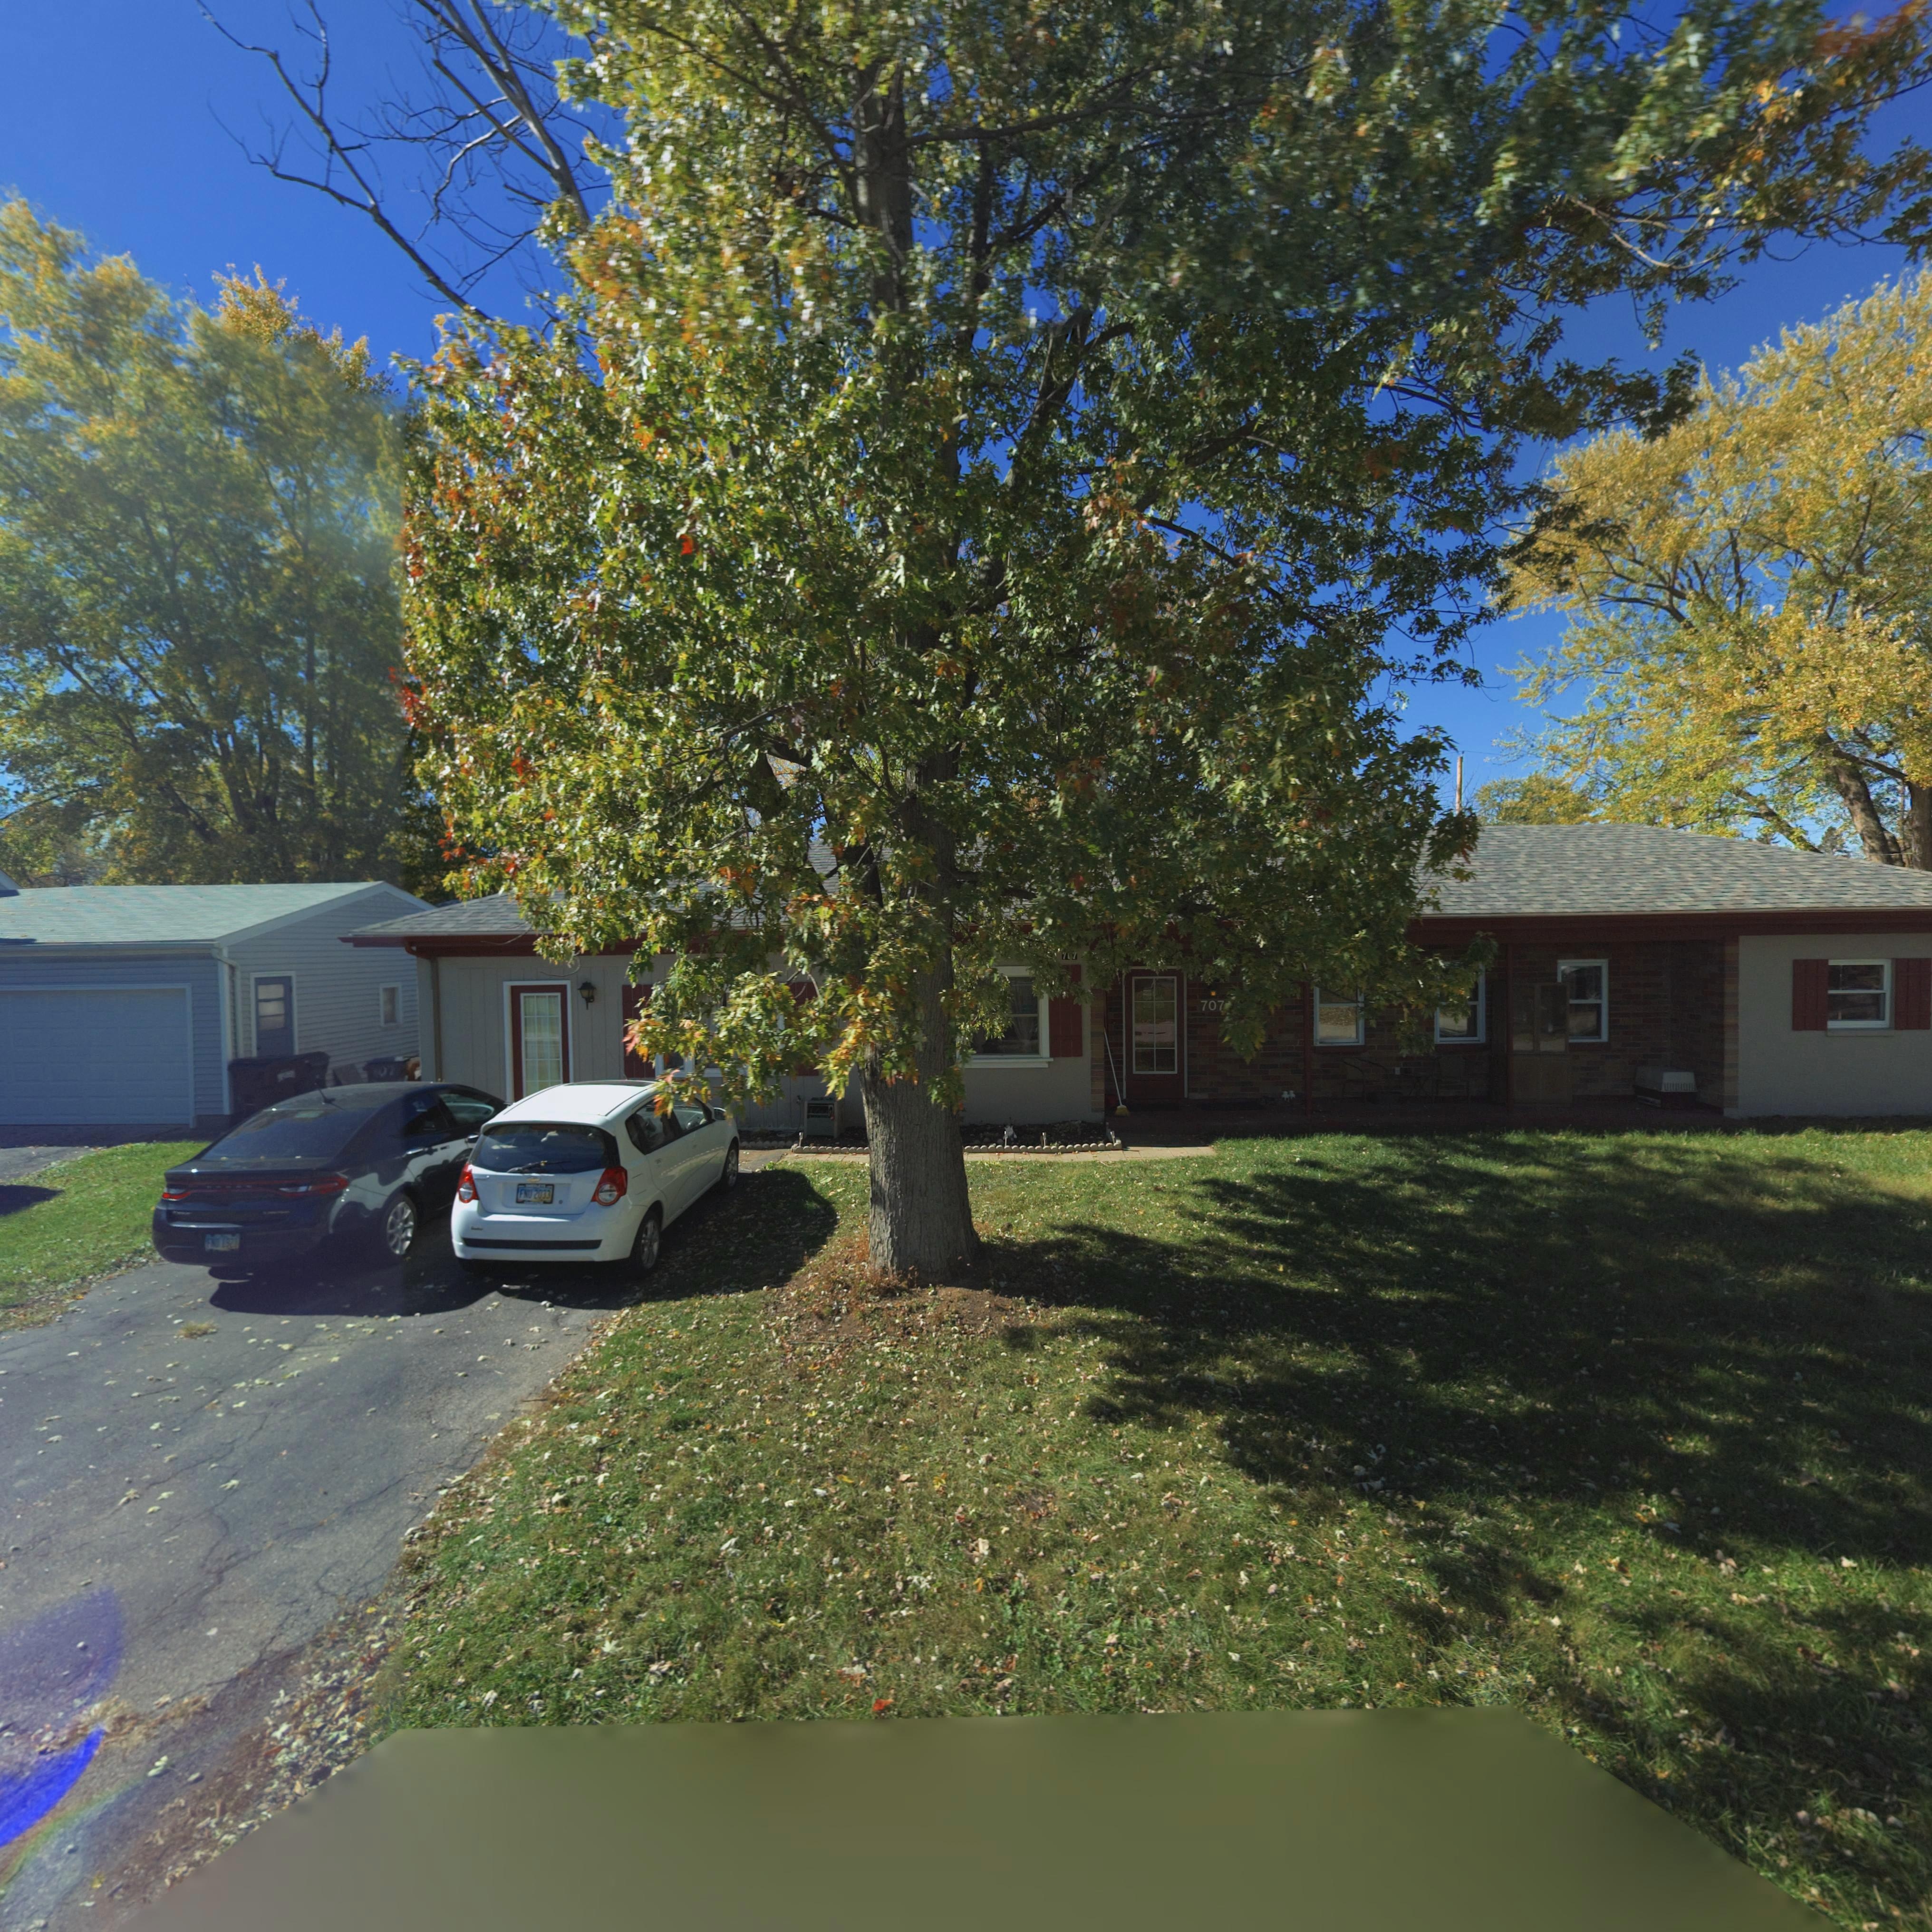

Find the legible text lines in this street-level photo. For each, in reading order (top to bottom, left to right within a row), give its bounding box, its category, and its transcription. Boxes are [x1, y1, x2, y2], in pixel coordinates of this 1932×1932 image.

[1200, 1000, 1225, 1011] StreetNumber: 707
[368, 1063, 396, 1079] StreetNumber: 707